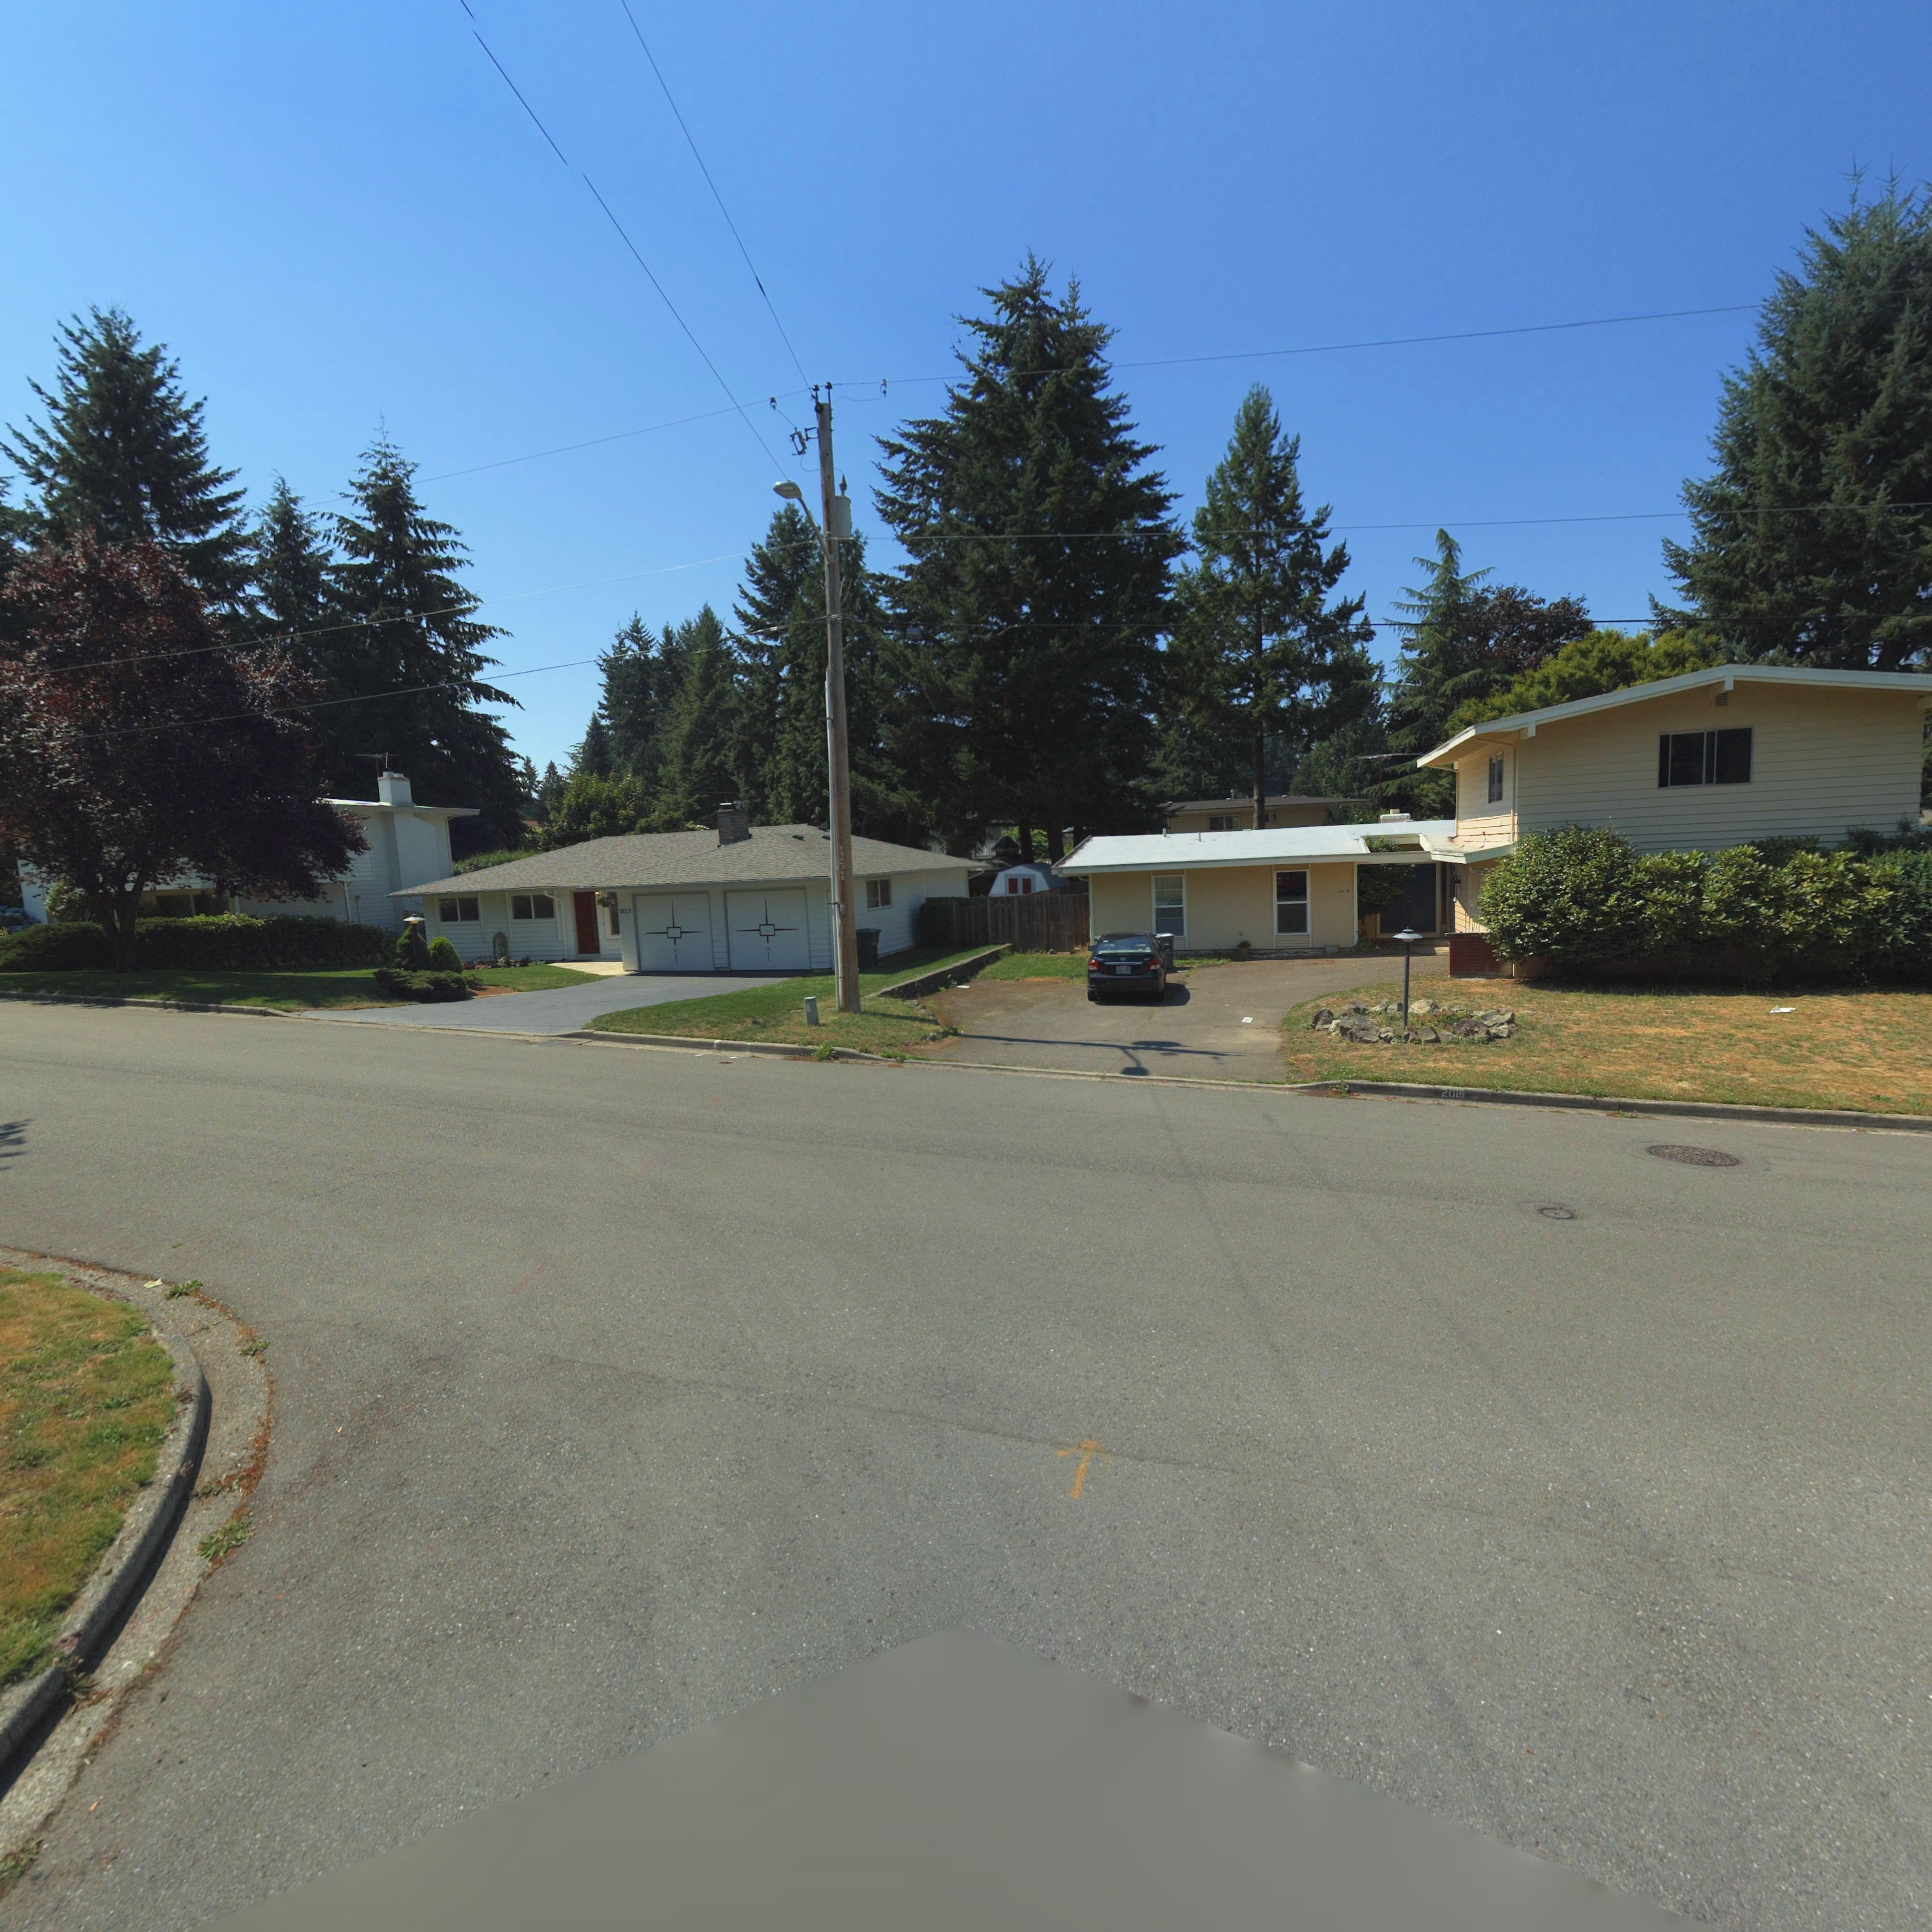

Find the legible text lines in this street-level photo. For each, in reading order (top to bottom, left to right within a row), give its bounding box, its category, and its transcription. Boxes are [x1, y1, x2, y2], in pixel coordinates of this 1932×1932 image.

[619, 908, 631, 914] StreetNumber: 2013